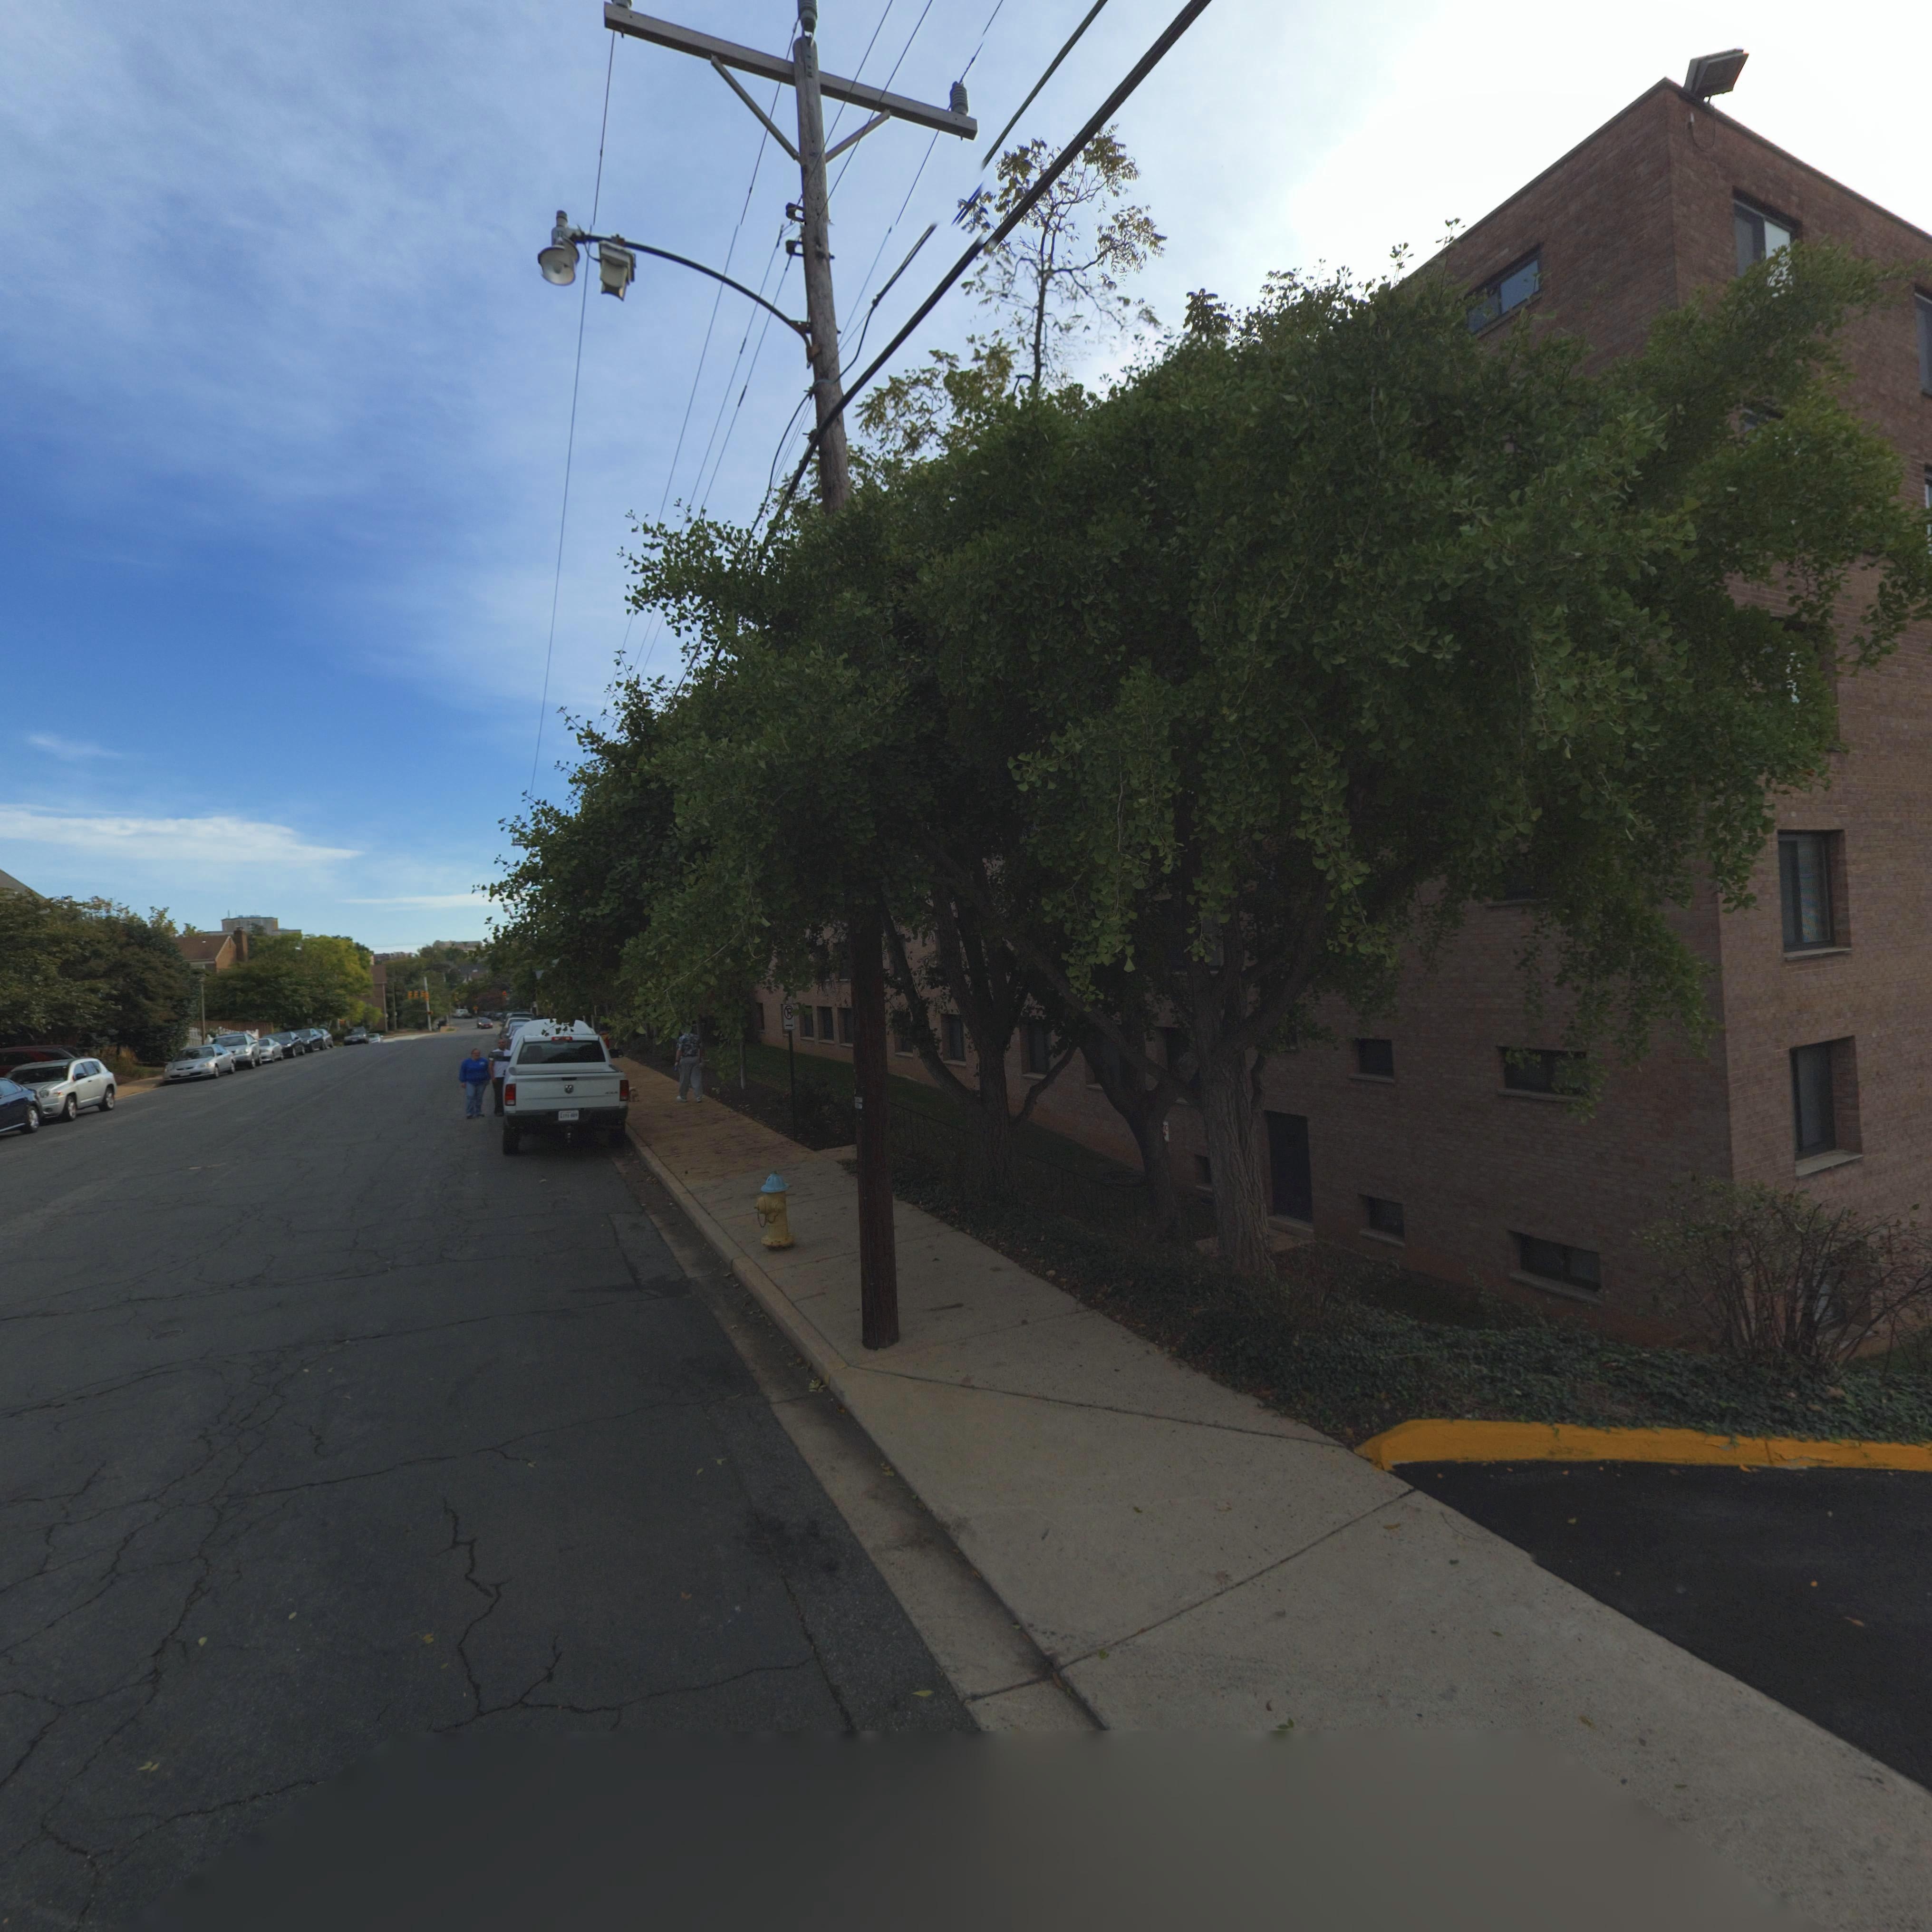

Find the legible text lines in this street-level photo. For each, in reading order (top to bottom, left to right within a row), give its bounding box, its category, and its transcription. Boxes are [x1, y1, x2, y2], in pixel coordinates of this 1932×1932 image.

[604, 1091, 618, 1095] None: 4x4
[562, 1113, 577, 1118] None: 891-****